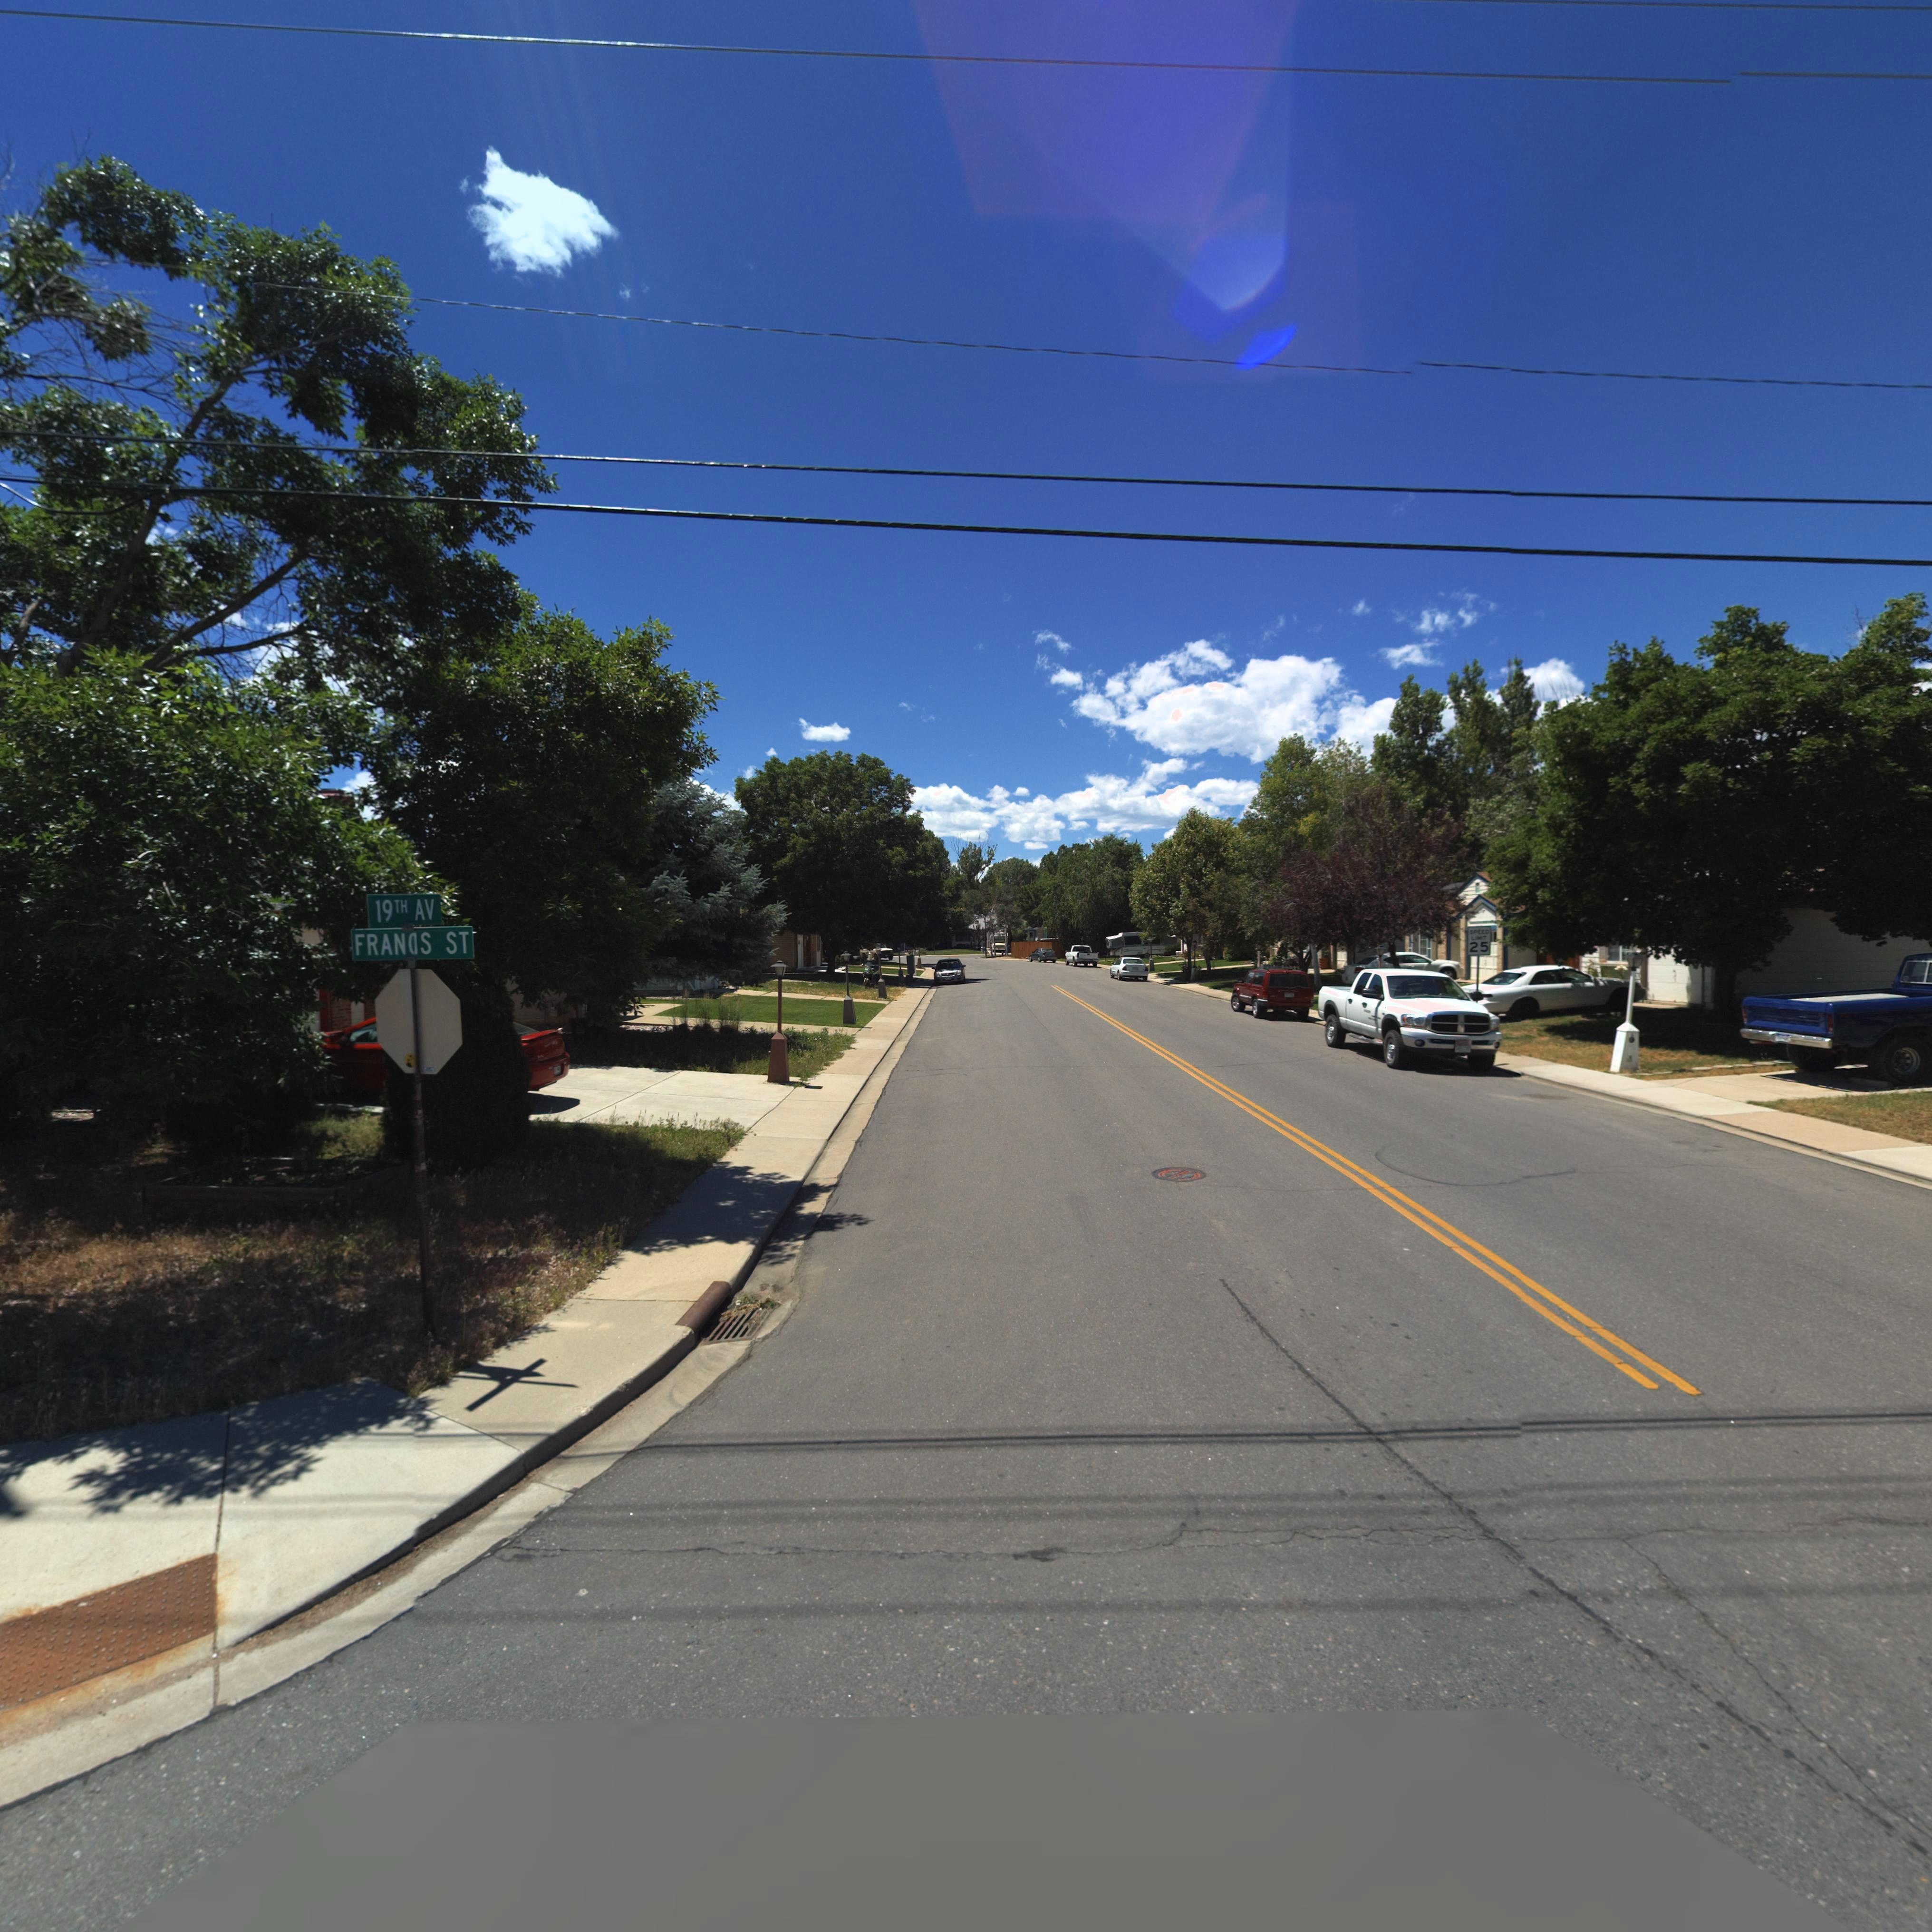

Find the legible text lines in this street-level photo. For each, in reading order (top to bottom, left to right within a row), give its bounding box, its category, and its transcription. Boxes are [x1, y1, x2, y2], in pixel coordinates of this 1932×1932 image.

[374, 897, 436, 924] StreetName: 19TH AV
[353, 930, 470, 956] StreetName: FRAN*IS ST